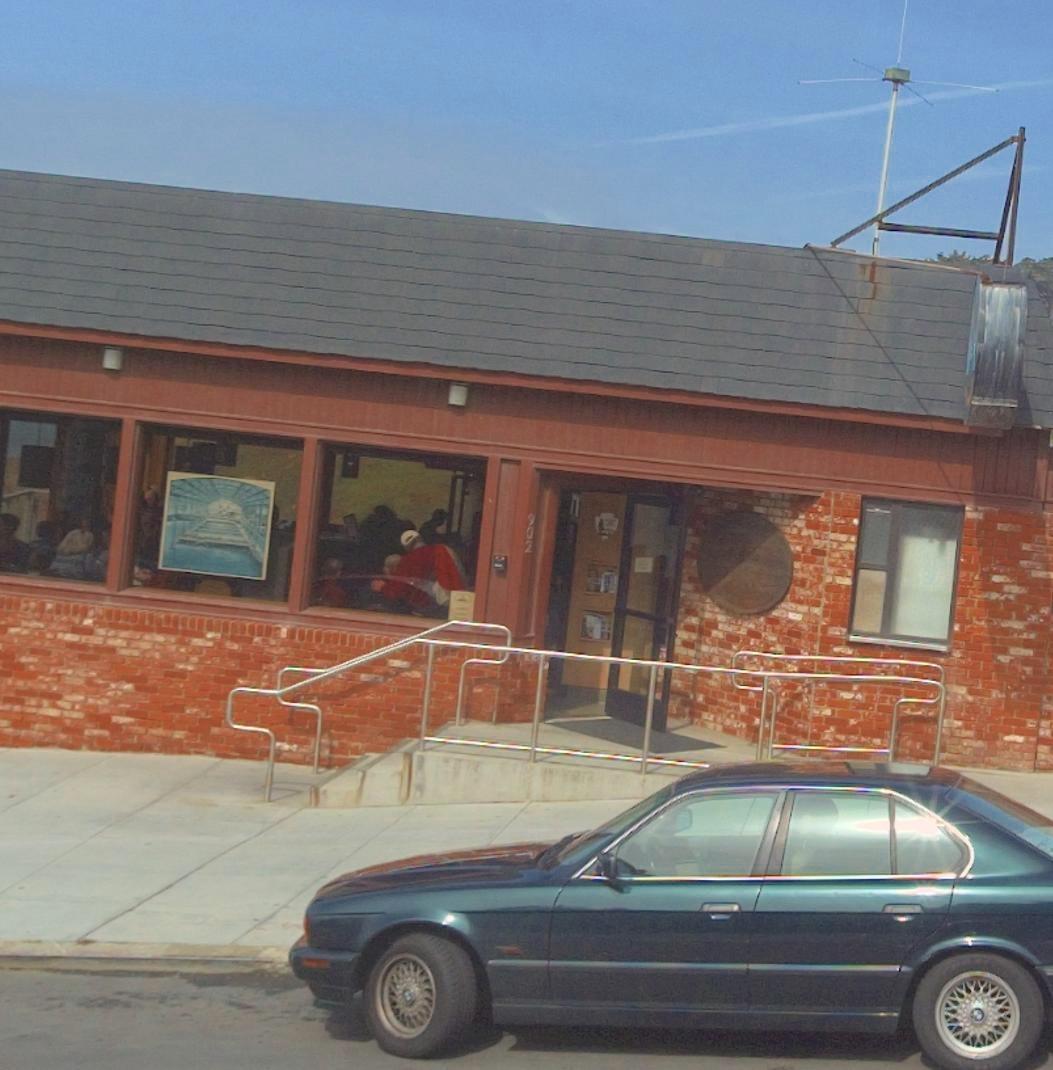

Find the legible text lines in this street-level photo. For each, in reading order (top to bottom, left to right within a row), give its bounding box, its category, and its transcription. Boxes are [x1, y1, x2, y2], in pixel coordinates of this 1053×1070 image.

[522, 512, 537, 555] StreetNumber: 902